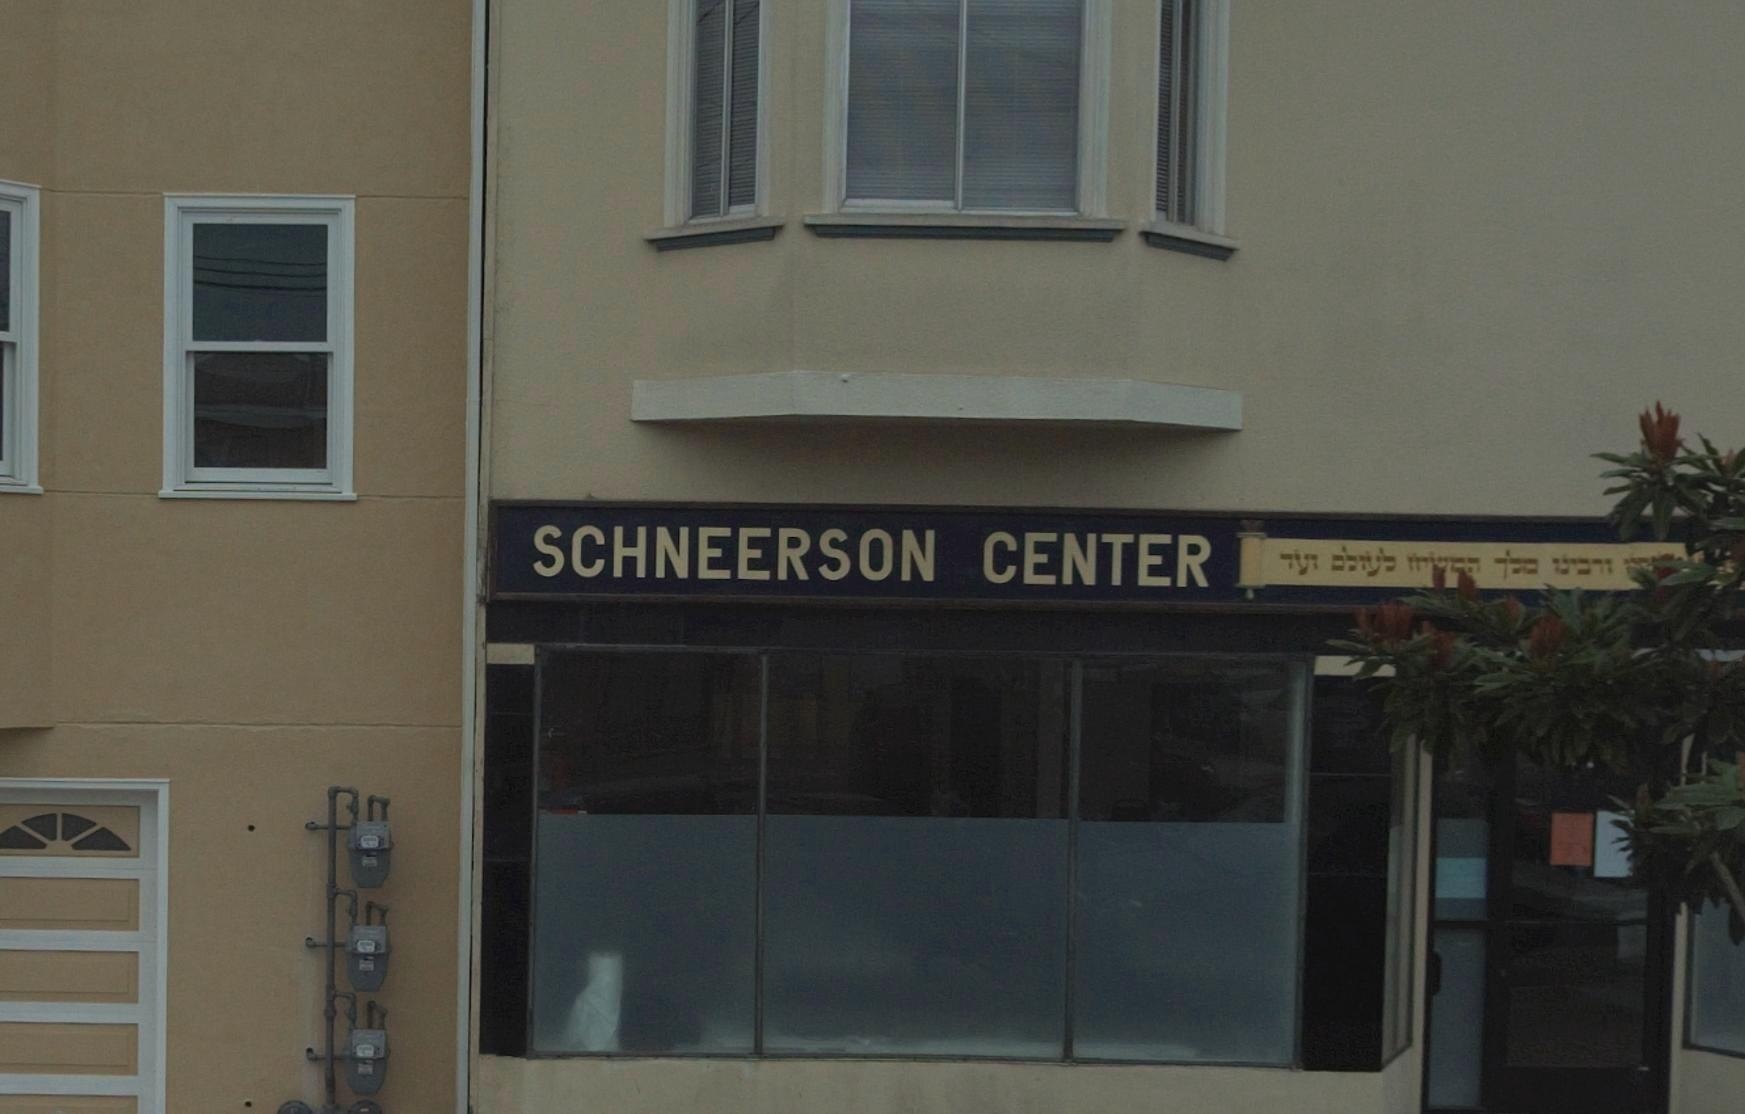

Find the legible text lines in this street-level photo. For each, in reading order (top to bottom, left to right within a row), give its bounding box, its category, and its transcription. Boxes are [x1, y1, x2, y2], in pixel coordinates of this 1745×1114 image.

[529, 519, 1219, 592] BusinessName: SCHNEERSON CENTER